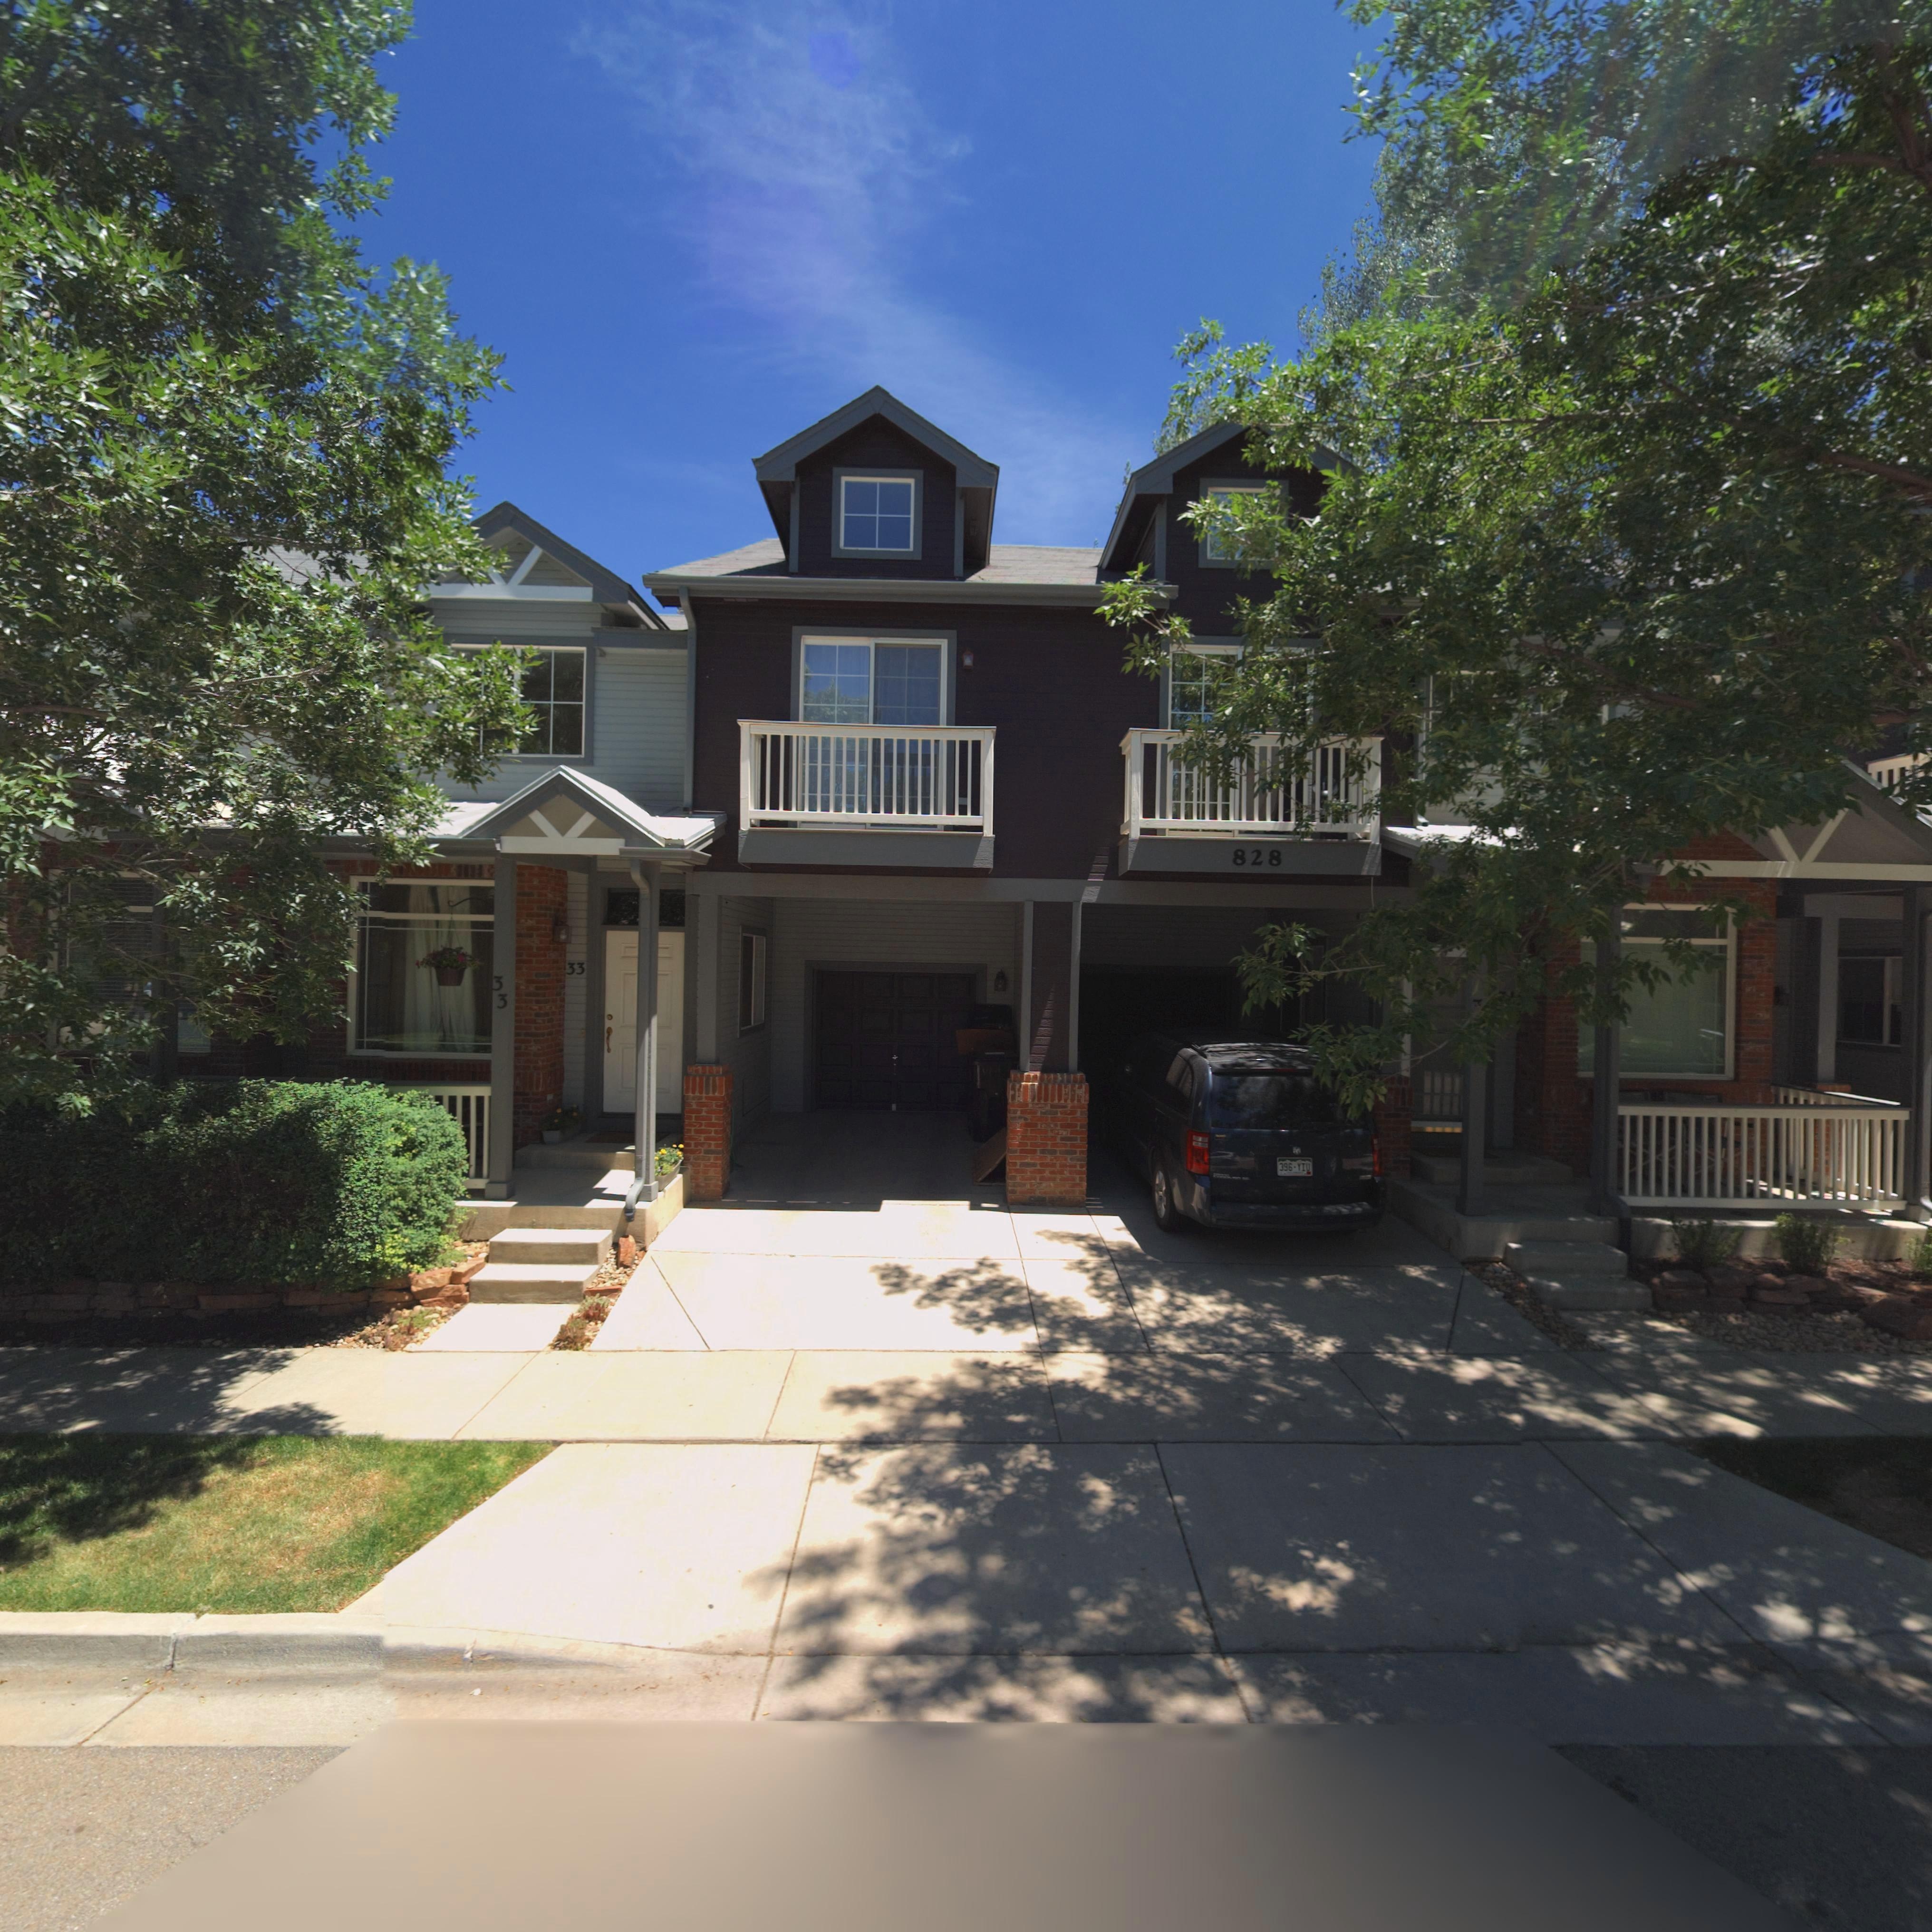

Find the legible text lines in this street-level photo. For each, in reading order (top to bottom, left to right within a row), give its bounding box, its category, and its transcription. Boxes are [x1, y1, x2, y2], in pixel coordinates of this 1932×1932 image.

[1233, 848, 1282, 867] StreetNumber: 828
[565, 961, 586, 977] StreetNumber: 33
[491, 974, 508, 1009] StreetNumber: 33